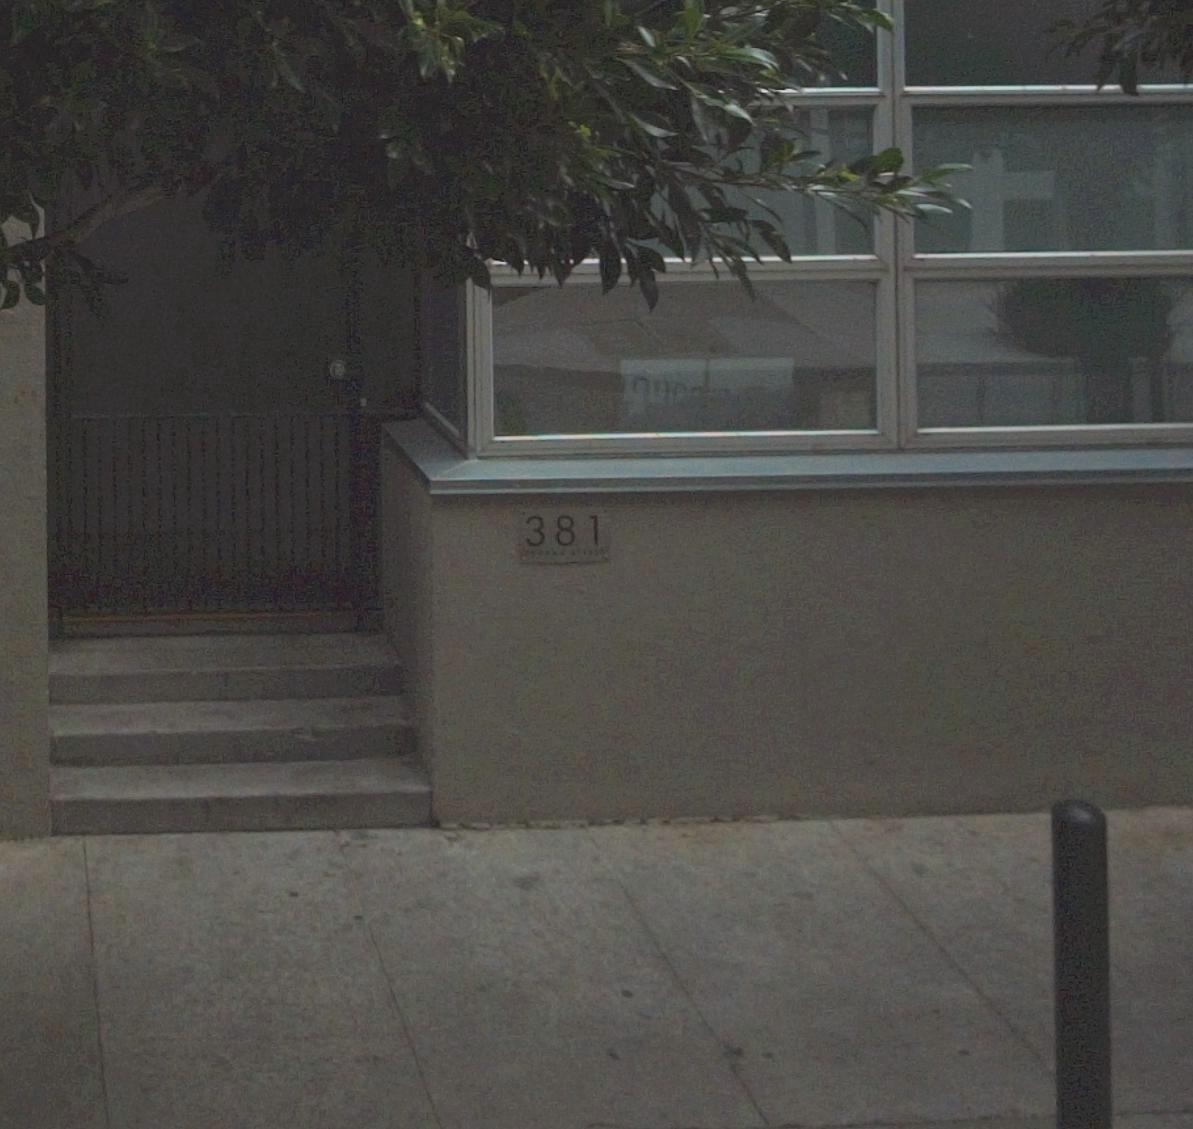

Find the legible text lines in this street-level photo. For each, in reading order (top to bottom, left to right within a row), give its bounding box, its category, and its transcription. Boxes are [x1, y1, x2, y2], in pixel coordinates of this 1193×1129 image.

[521, 509, 603, 551] StreetNumber: 381